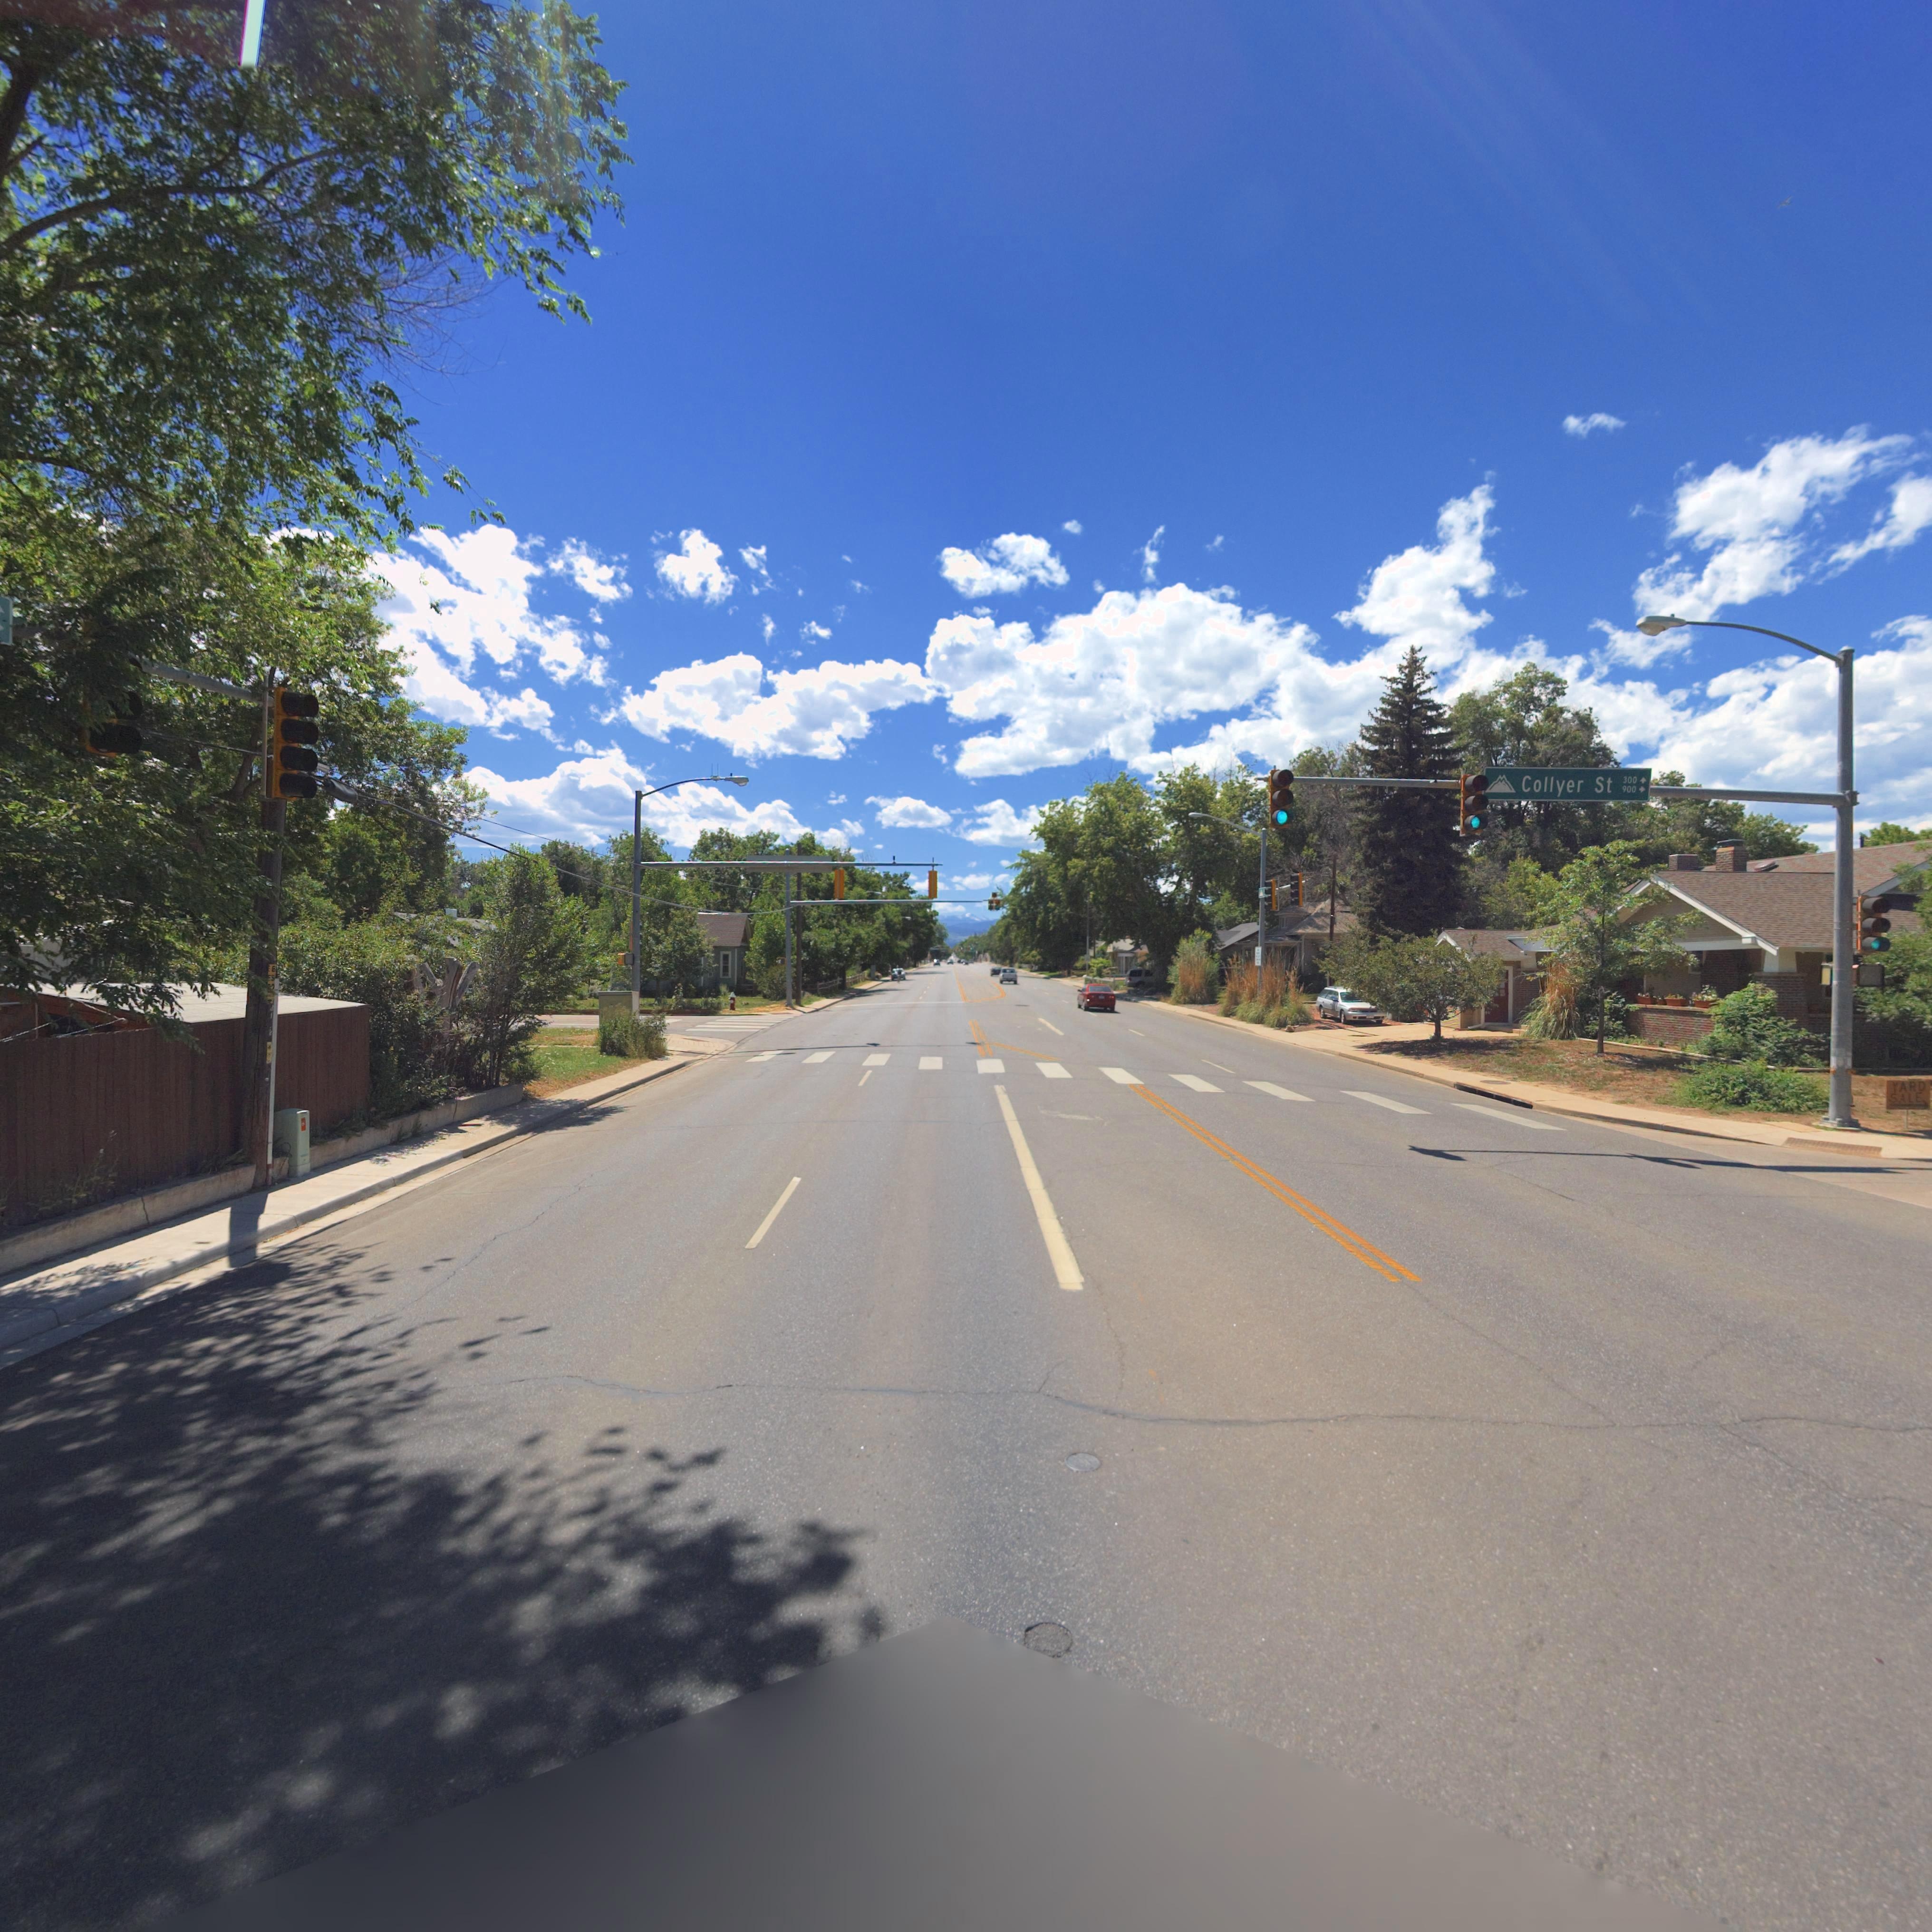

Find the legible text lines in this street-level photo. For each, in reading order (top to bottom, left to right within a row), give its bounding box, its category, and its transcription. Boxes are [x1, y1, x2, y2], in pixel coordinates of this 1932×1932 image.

[1623, 776, 1637, 783] StreetNumberRange: 300
[1521, 774, 1612, 797] StreetName: Collyer St
[1622, 785, 1645, 792] StreetNumberRange: 900->